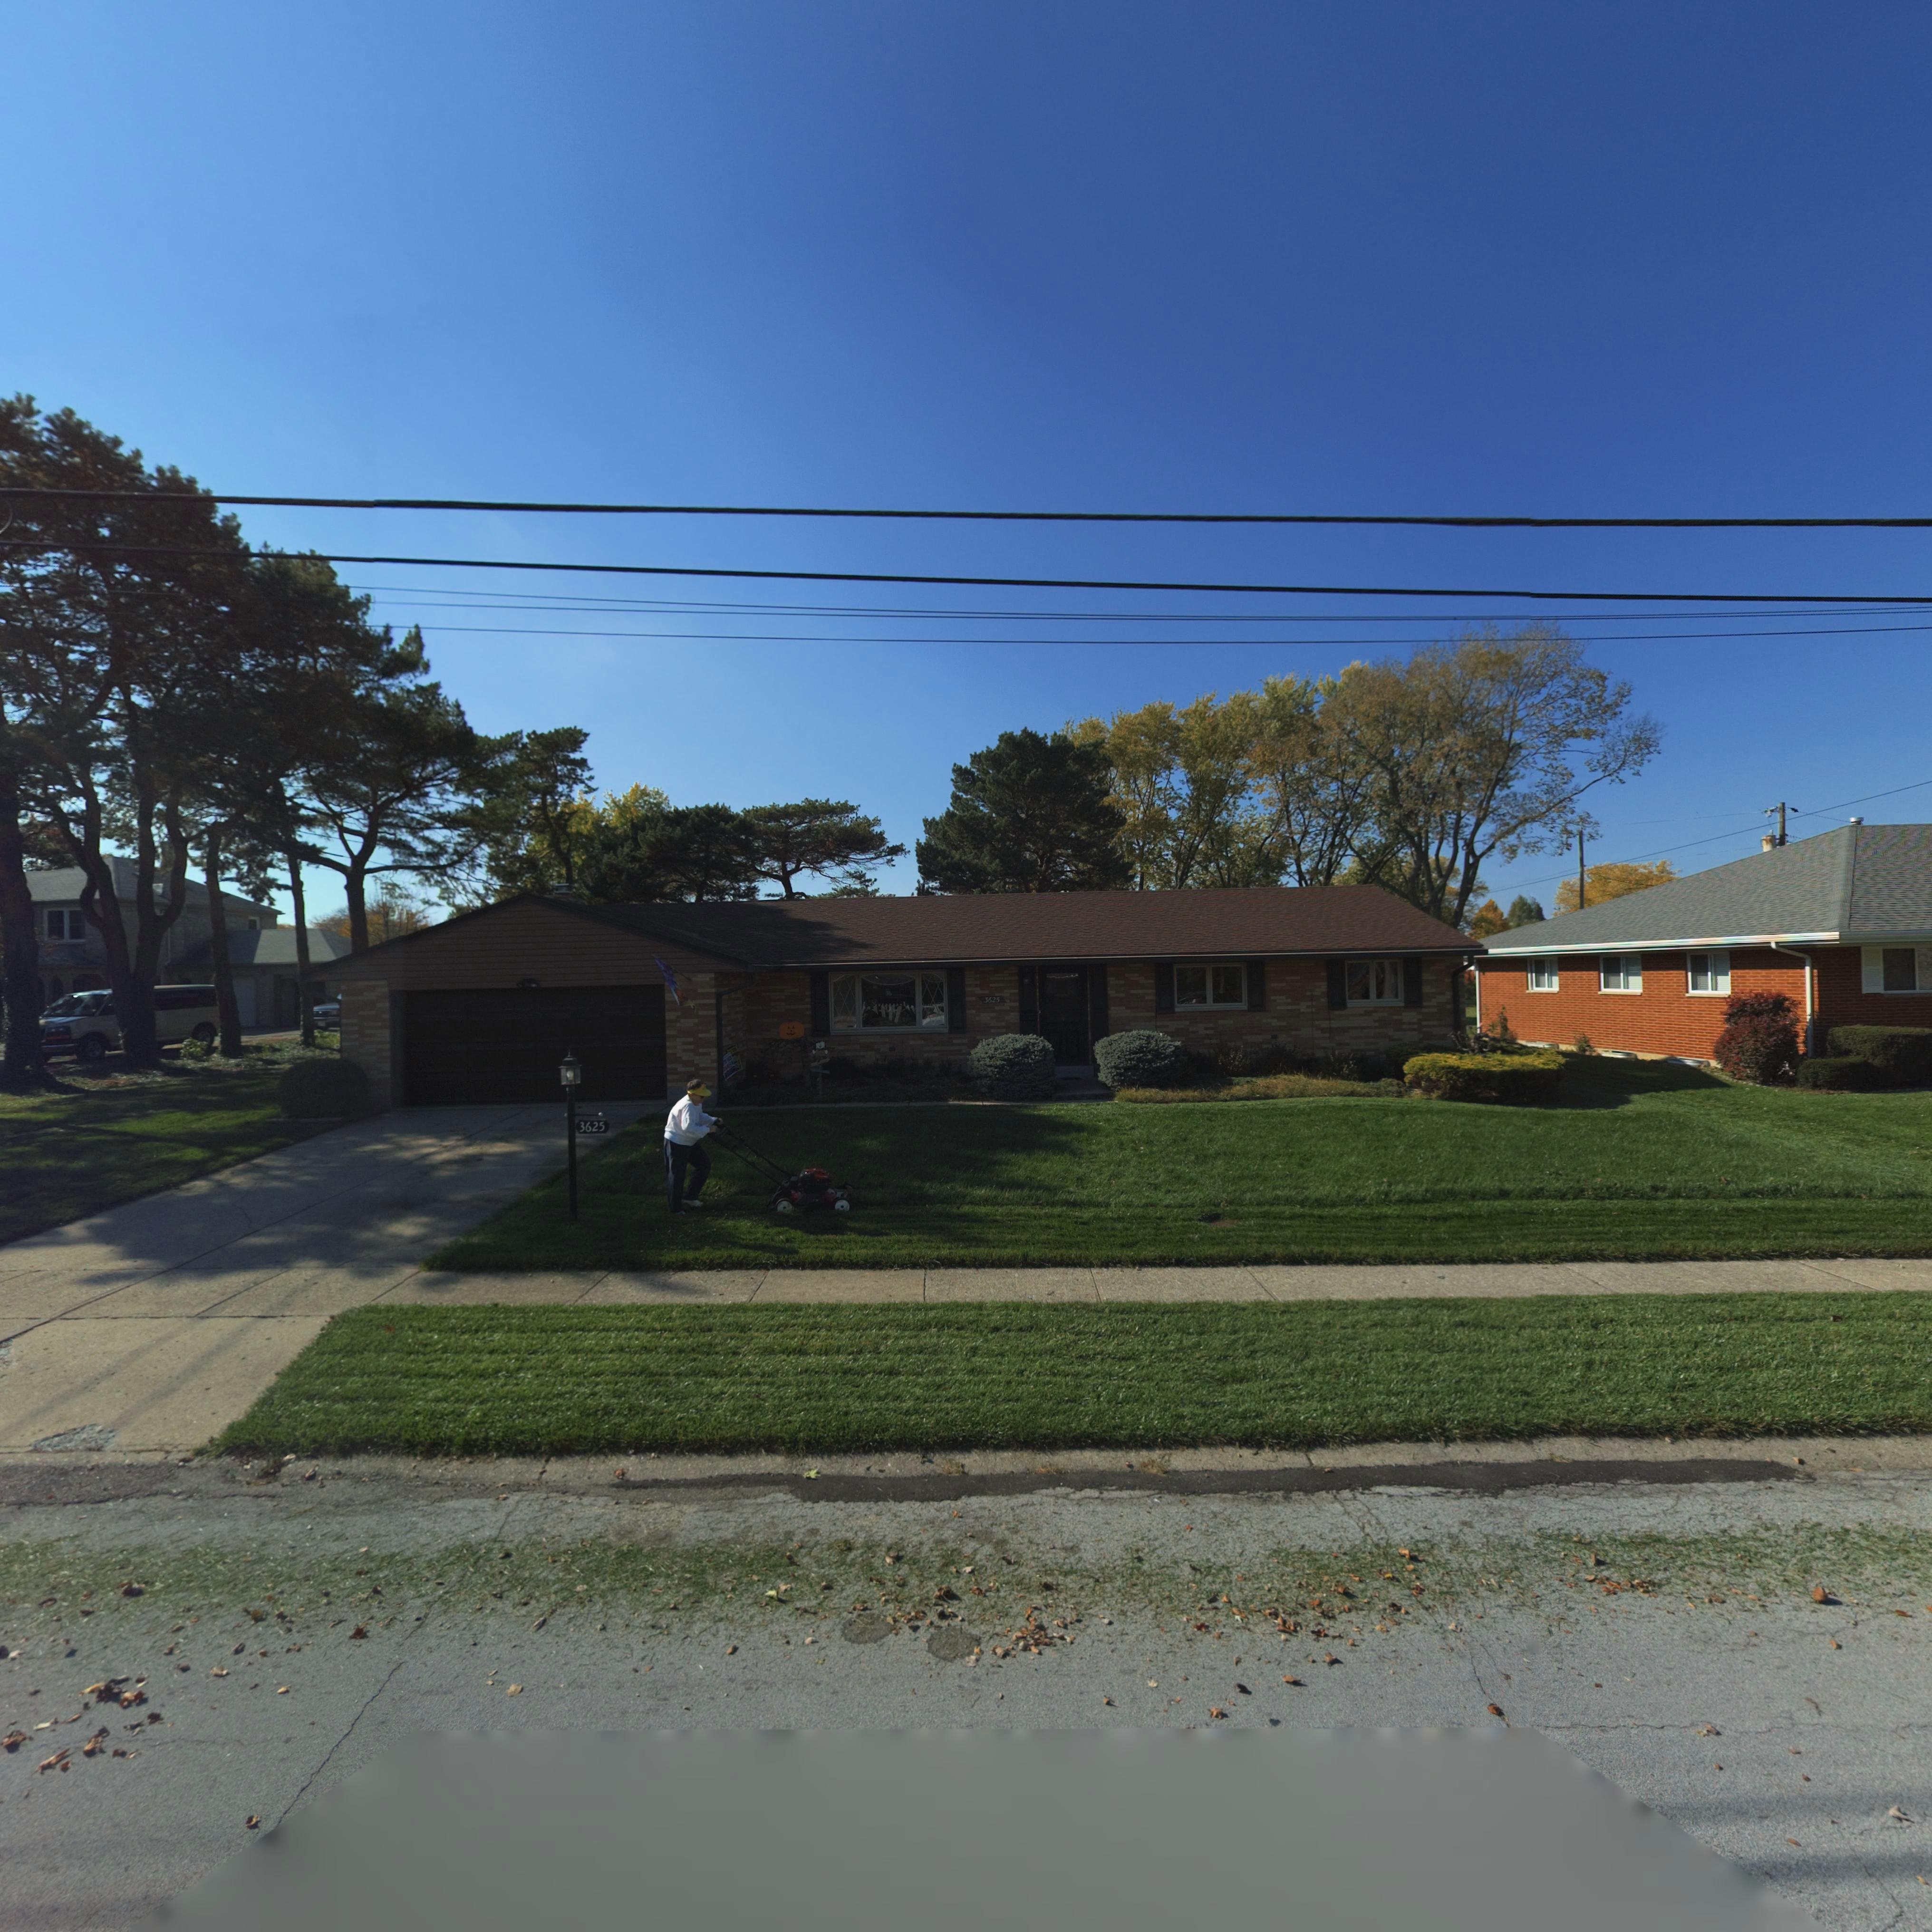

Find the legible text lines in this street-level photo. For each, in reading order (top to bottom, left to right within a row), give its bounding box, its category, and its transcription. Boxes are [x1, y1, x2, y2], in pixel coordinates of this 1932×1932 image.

[982, 995, 1001, 1004] StreetNumber: 3625
[578, 1120, 607, 1133] StreetNumber: 3625